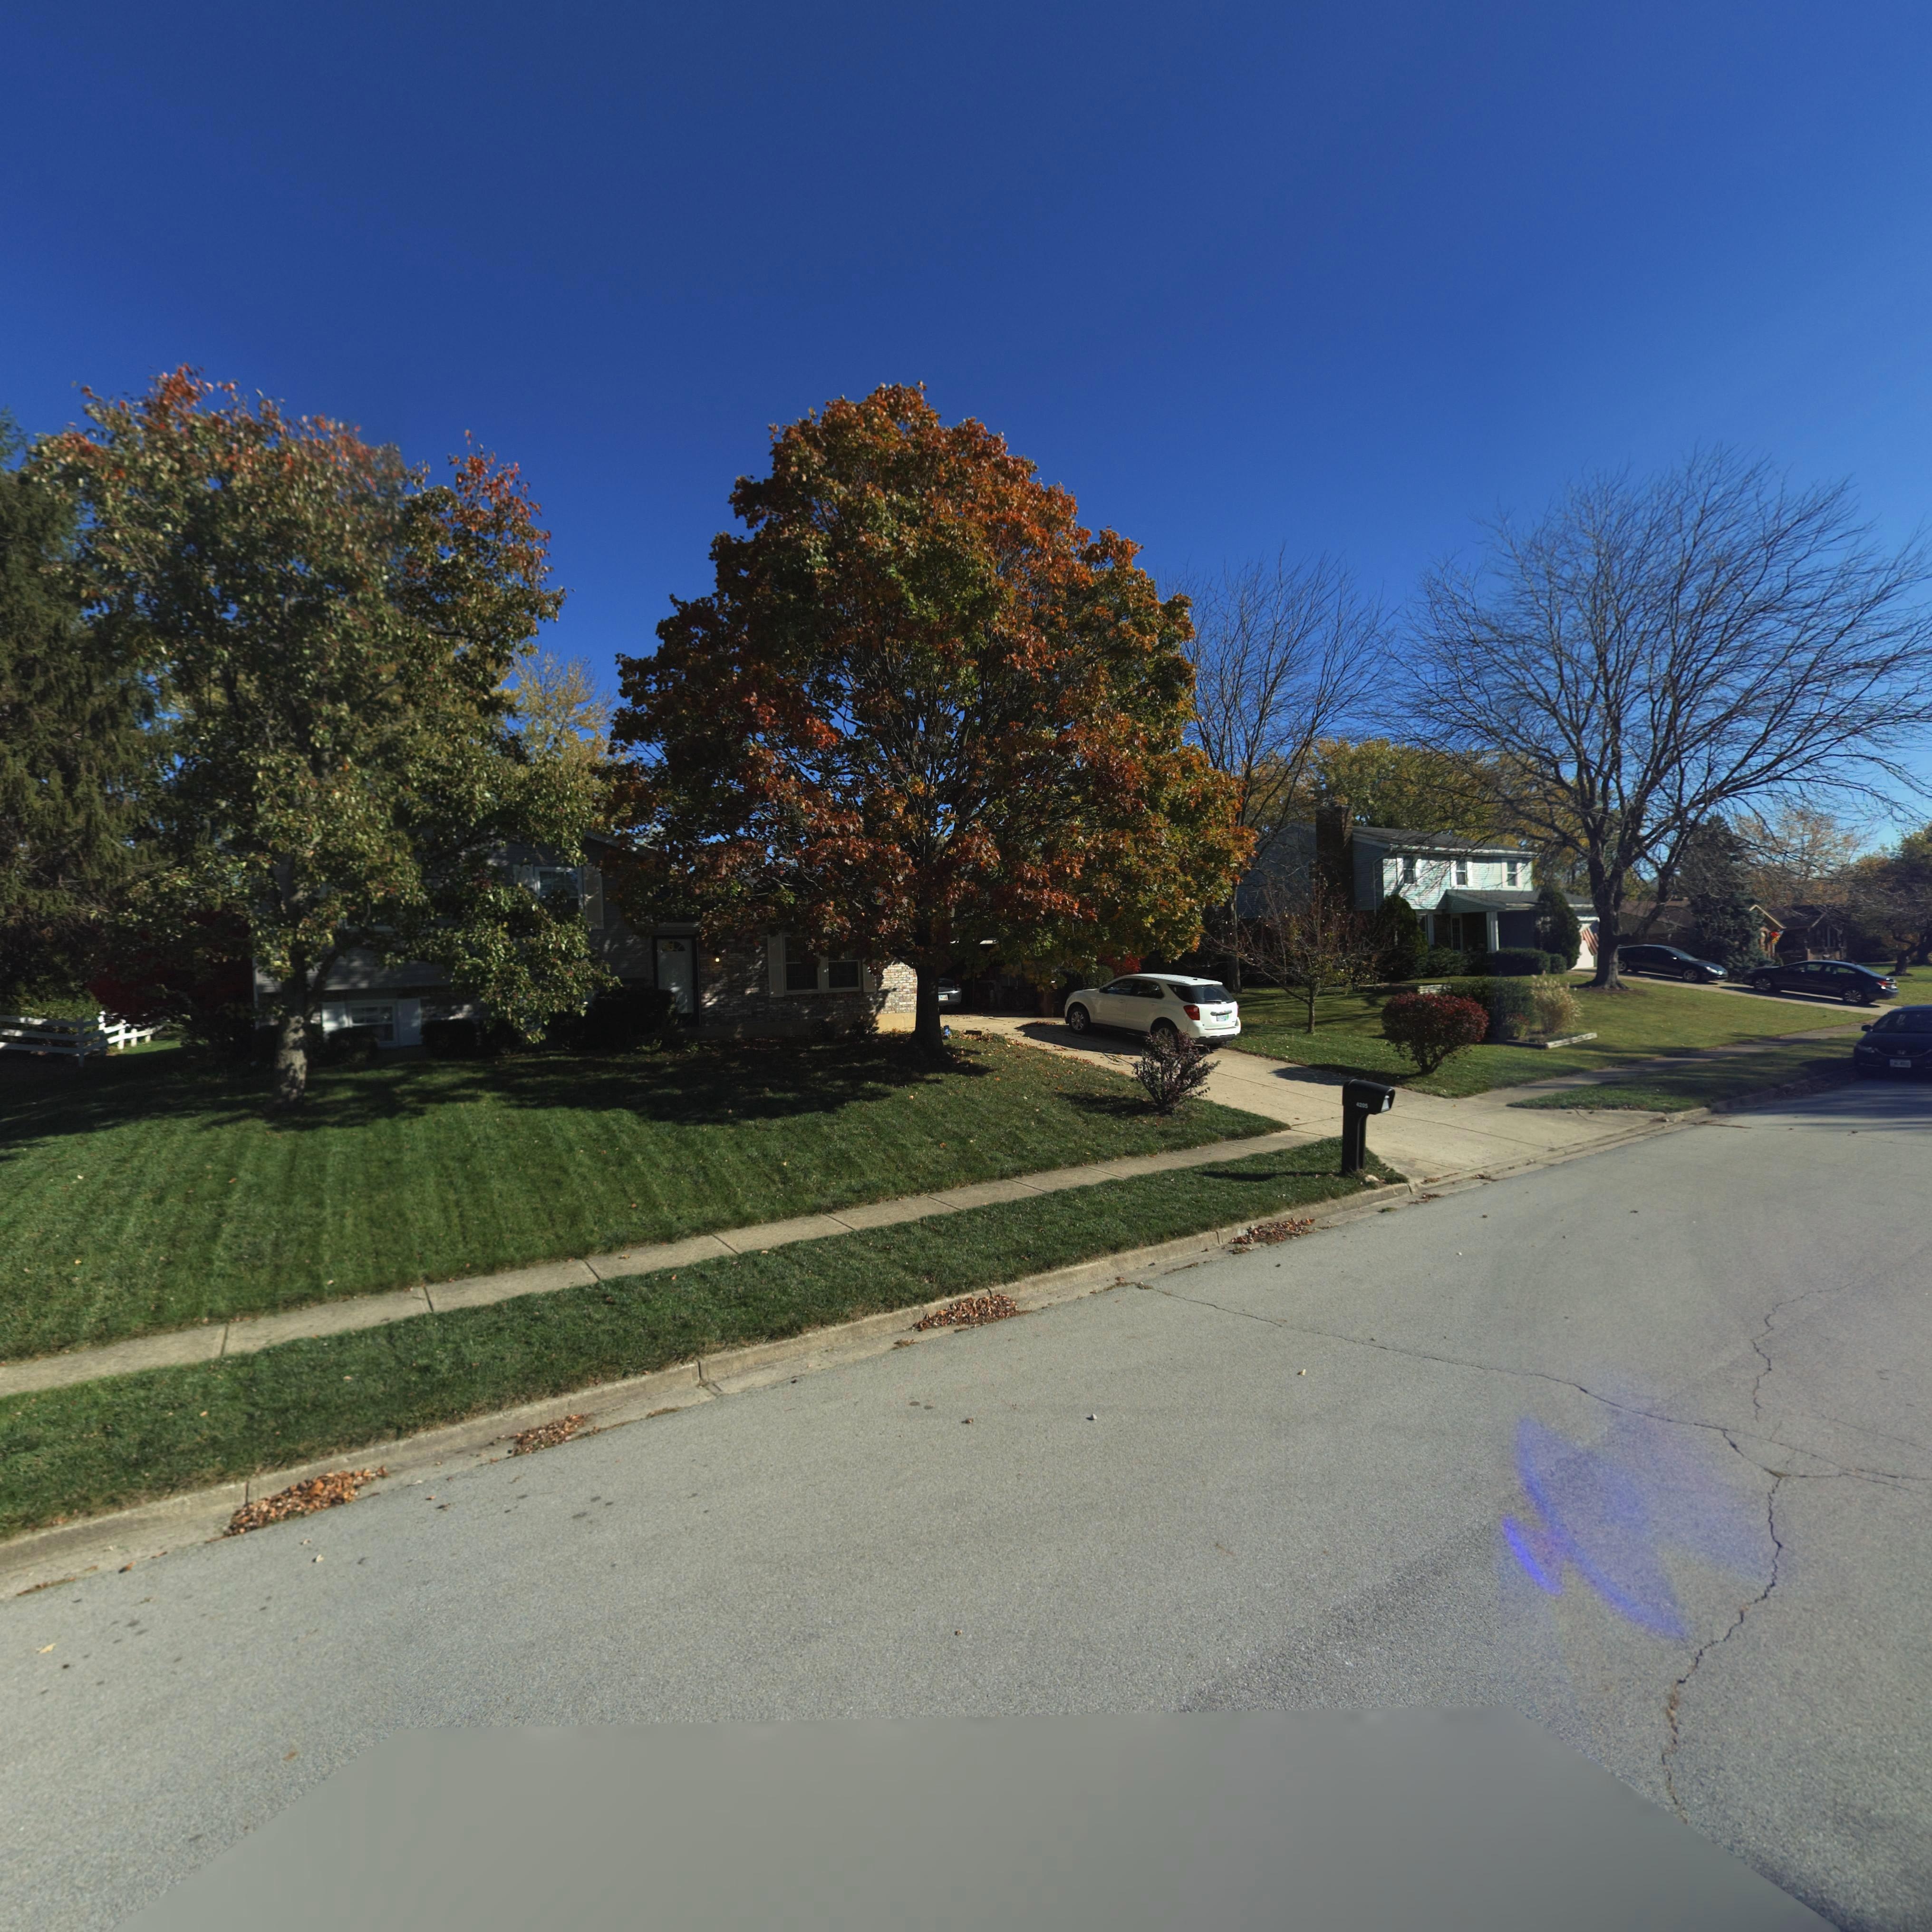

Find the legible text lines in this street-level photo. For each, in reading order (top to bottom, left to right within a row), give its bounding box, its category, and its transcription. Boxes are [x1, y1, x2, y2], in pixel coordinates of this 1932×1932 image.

[1355, 1101, 1369, 1110] StreetNumber: 4205